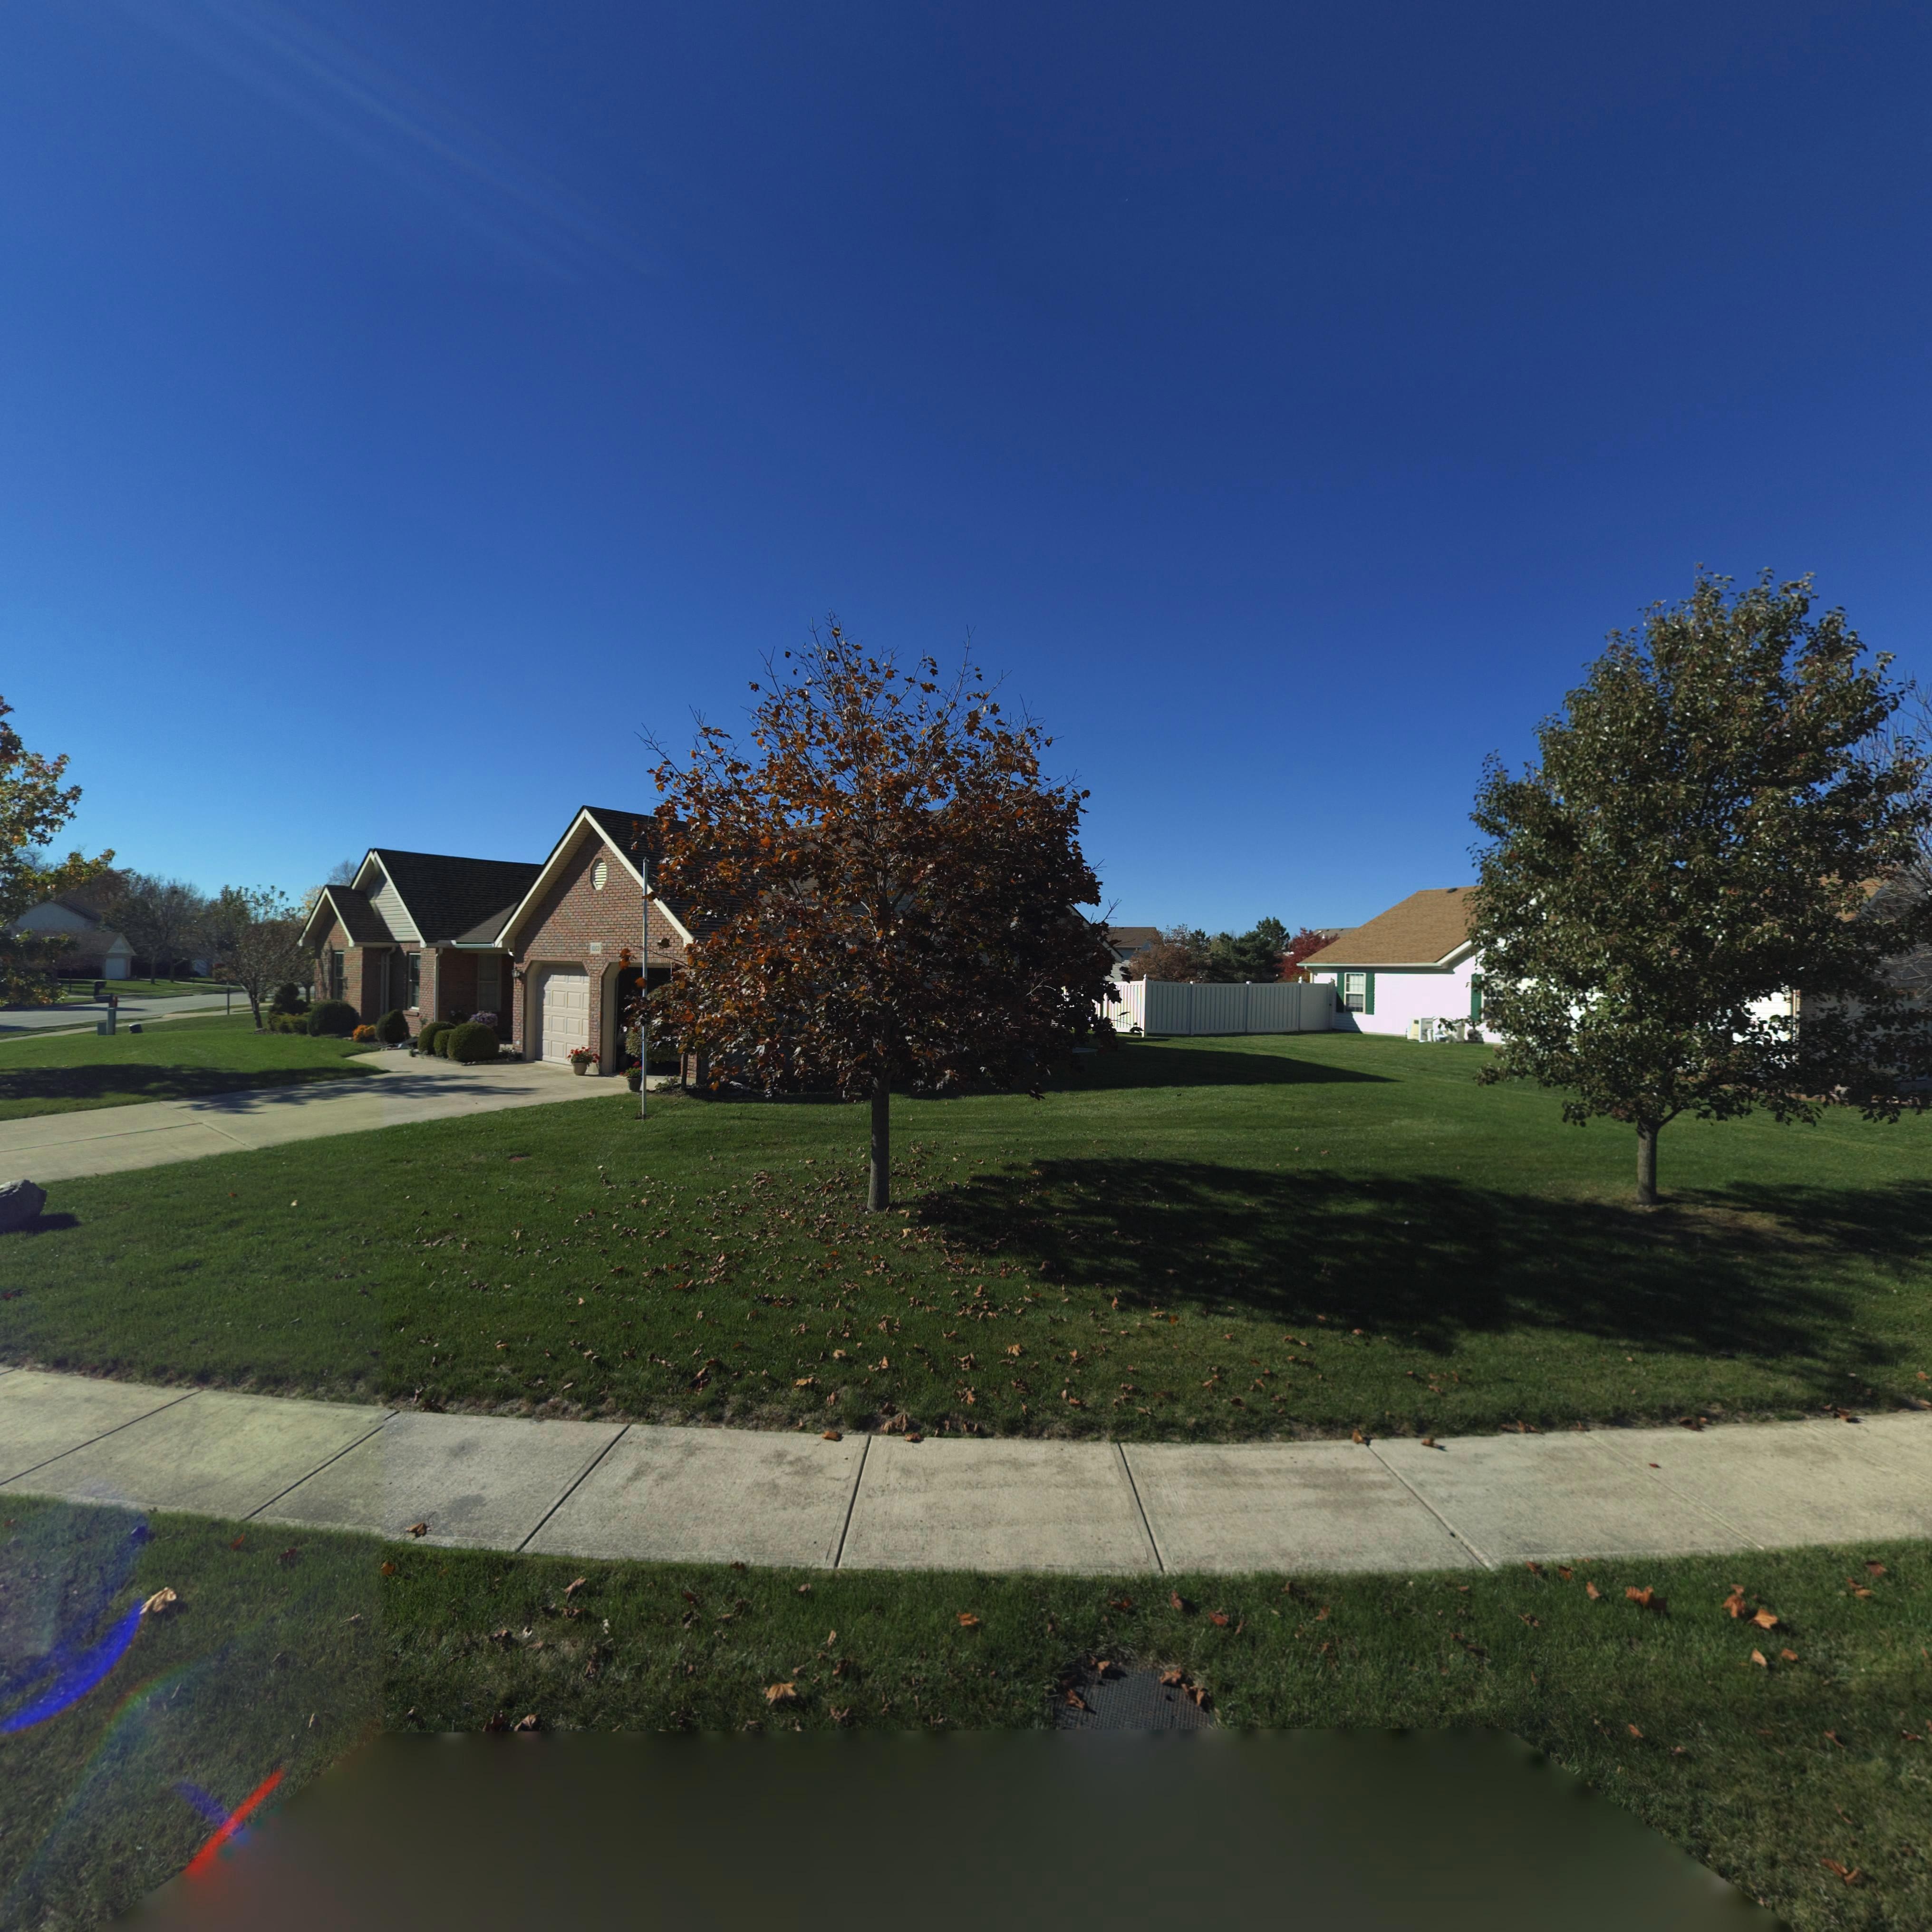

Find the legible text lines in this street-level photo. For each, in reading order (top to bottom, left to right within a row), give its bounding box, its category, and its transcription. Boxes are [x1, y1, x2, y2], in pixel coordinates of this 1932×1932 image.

[591, 945, 600, 952] StreetNumber: 1003